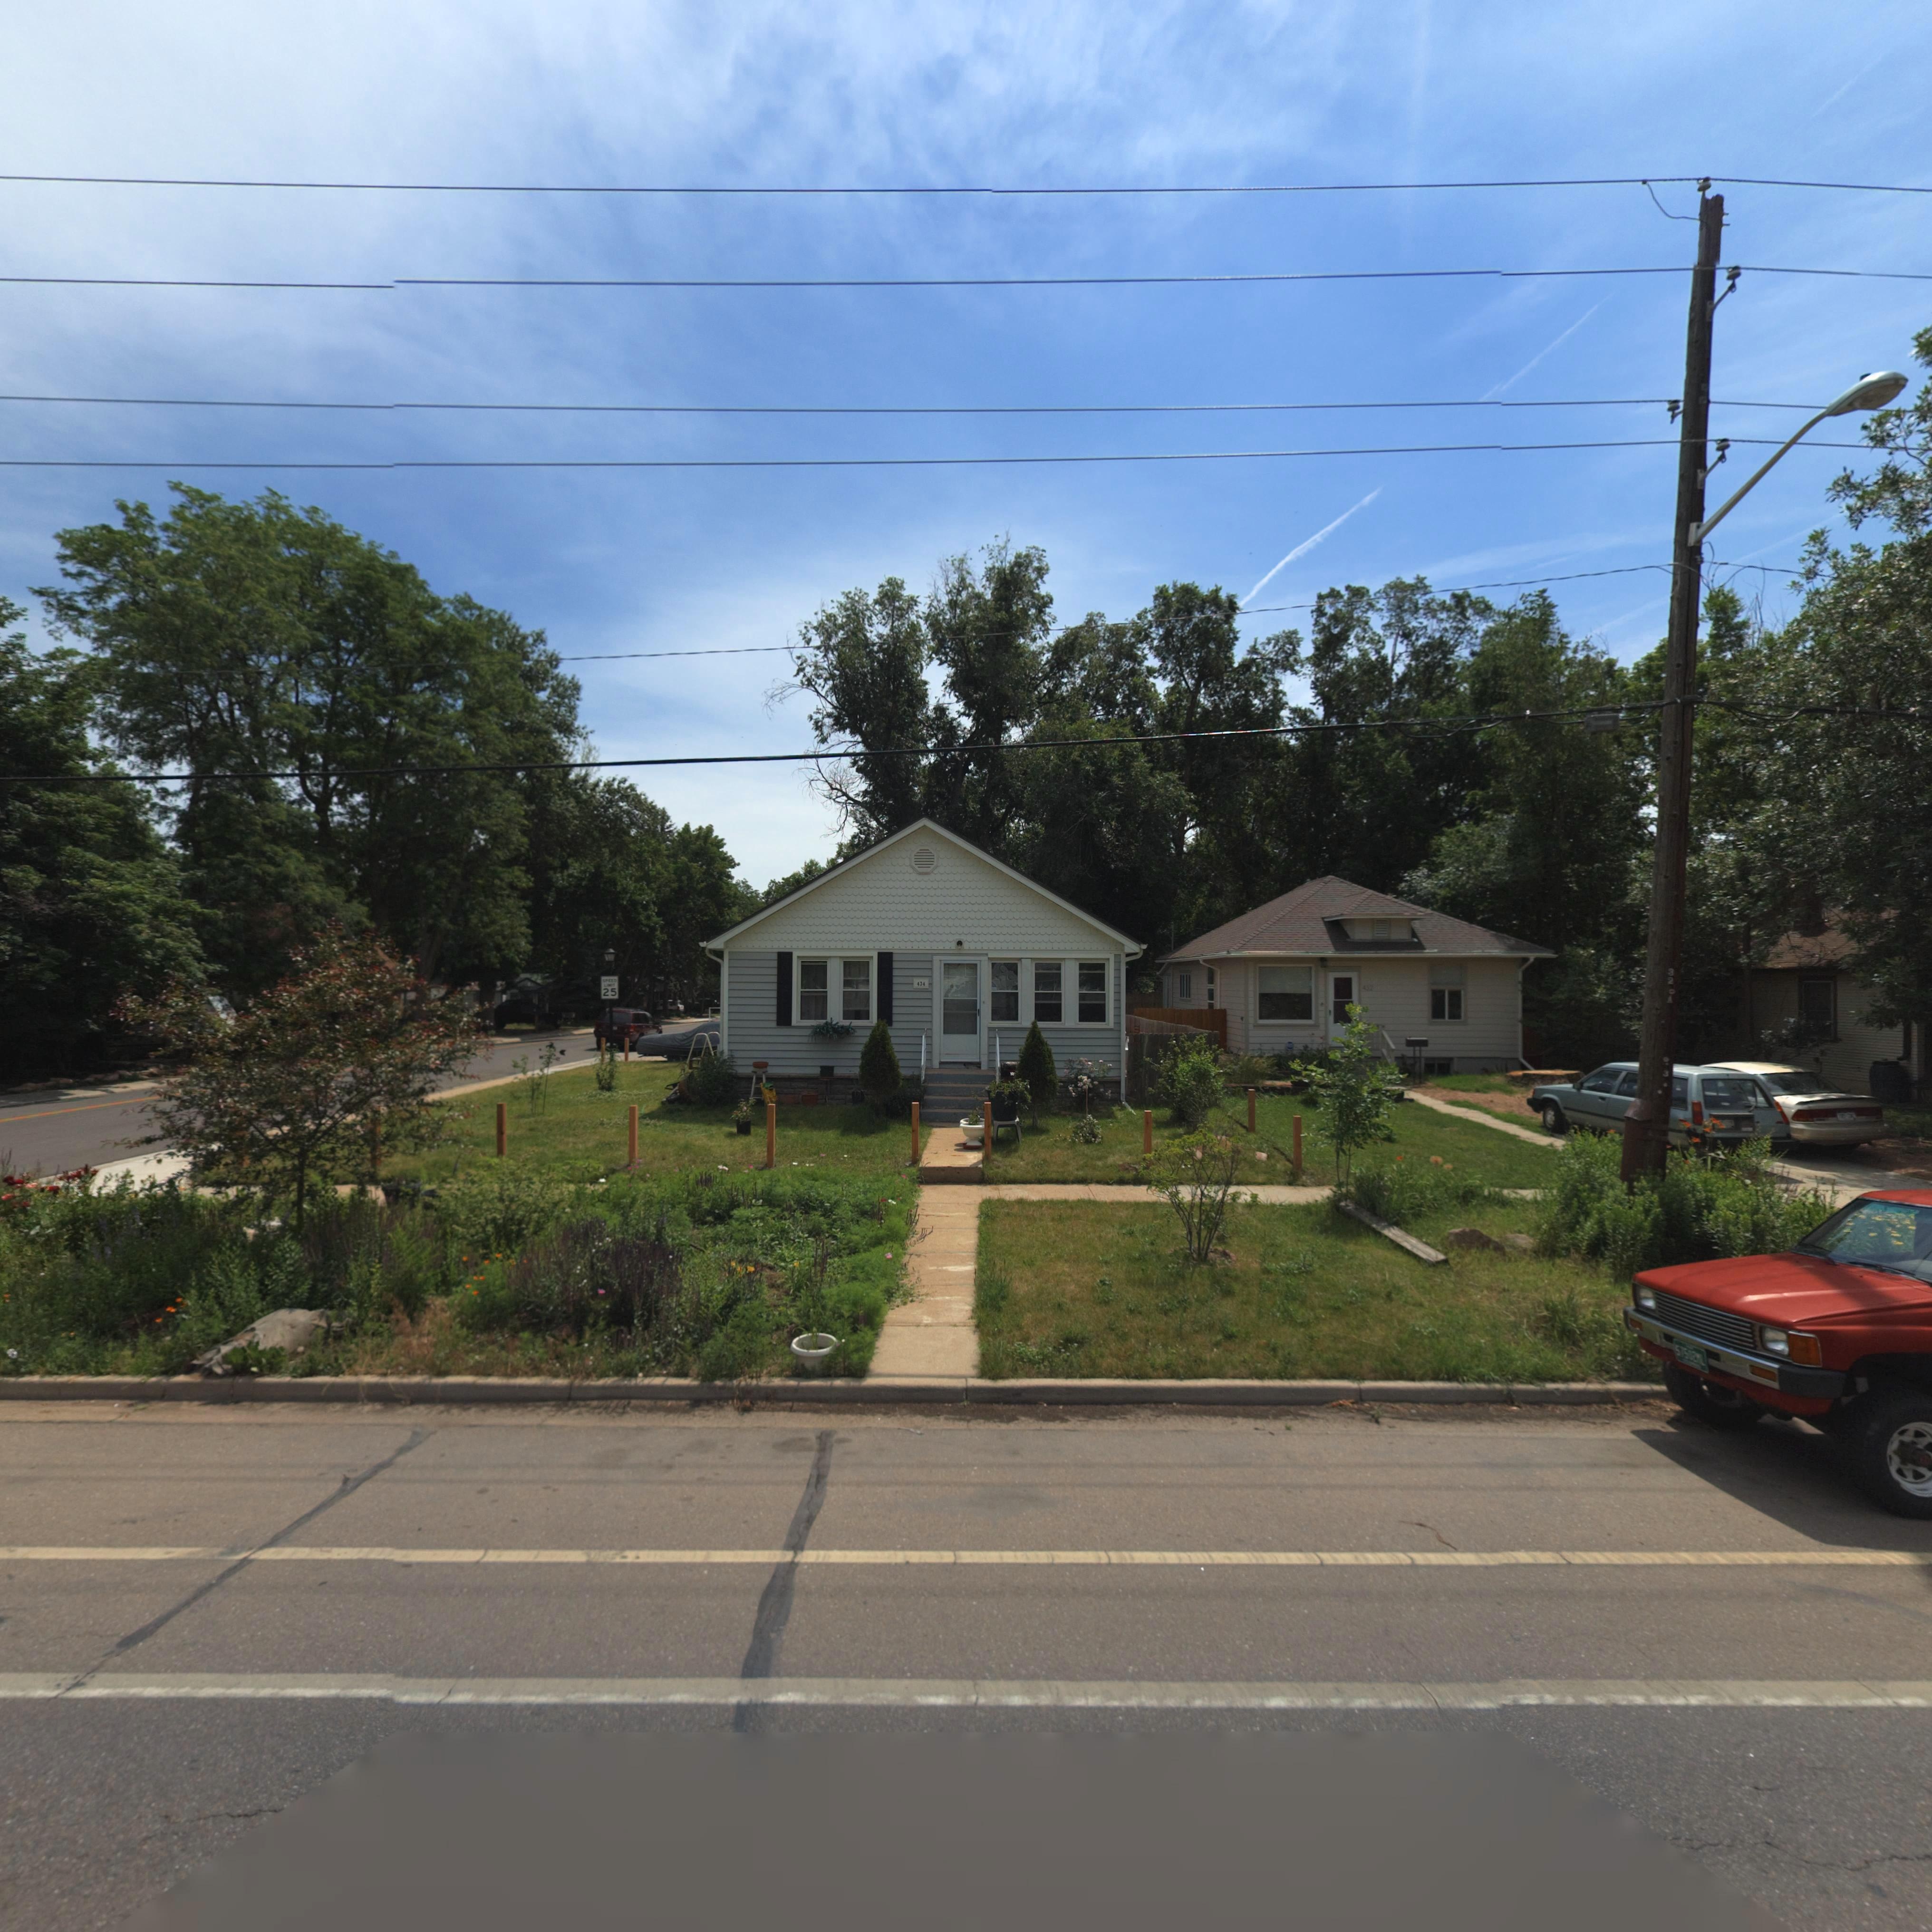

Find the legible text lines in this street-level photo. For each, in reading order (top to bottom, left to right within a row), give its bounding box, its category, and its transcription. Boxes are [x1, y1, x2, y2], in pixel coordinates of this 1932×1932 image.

[917, 981, 925, 986] StreetNumber: 434
[1361, 985, 1373, 991] StreetNumber: 432